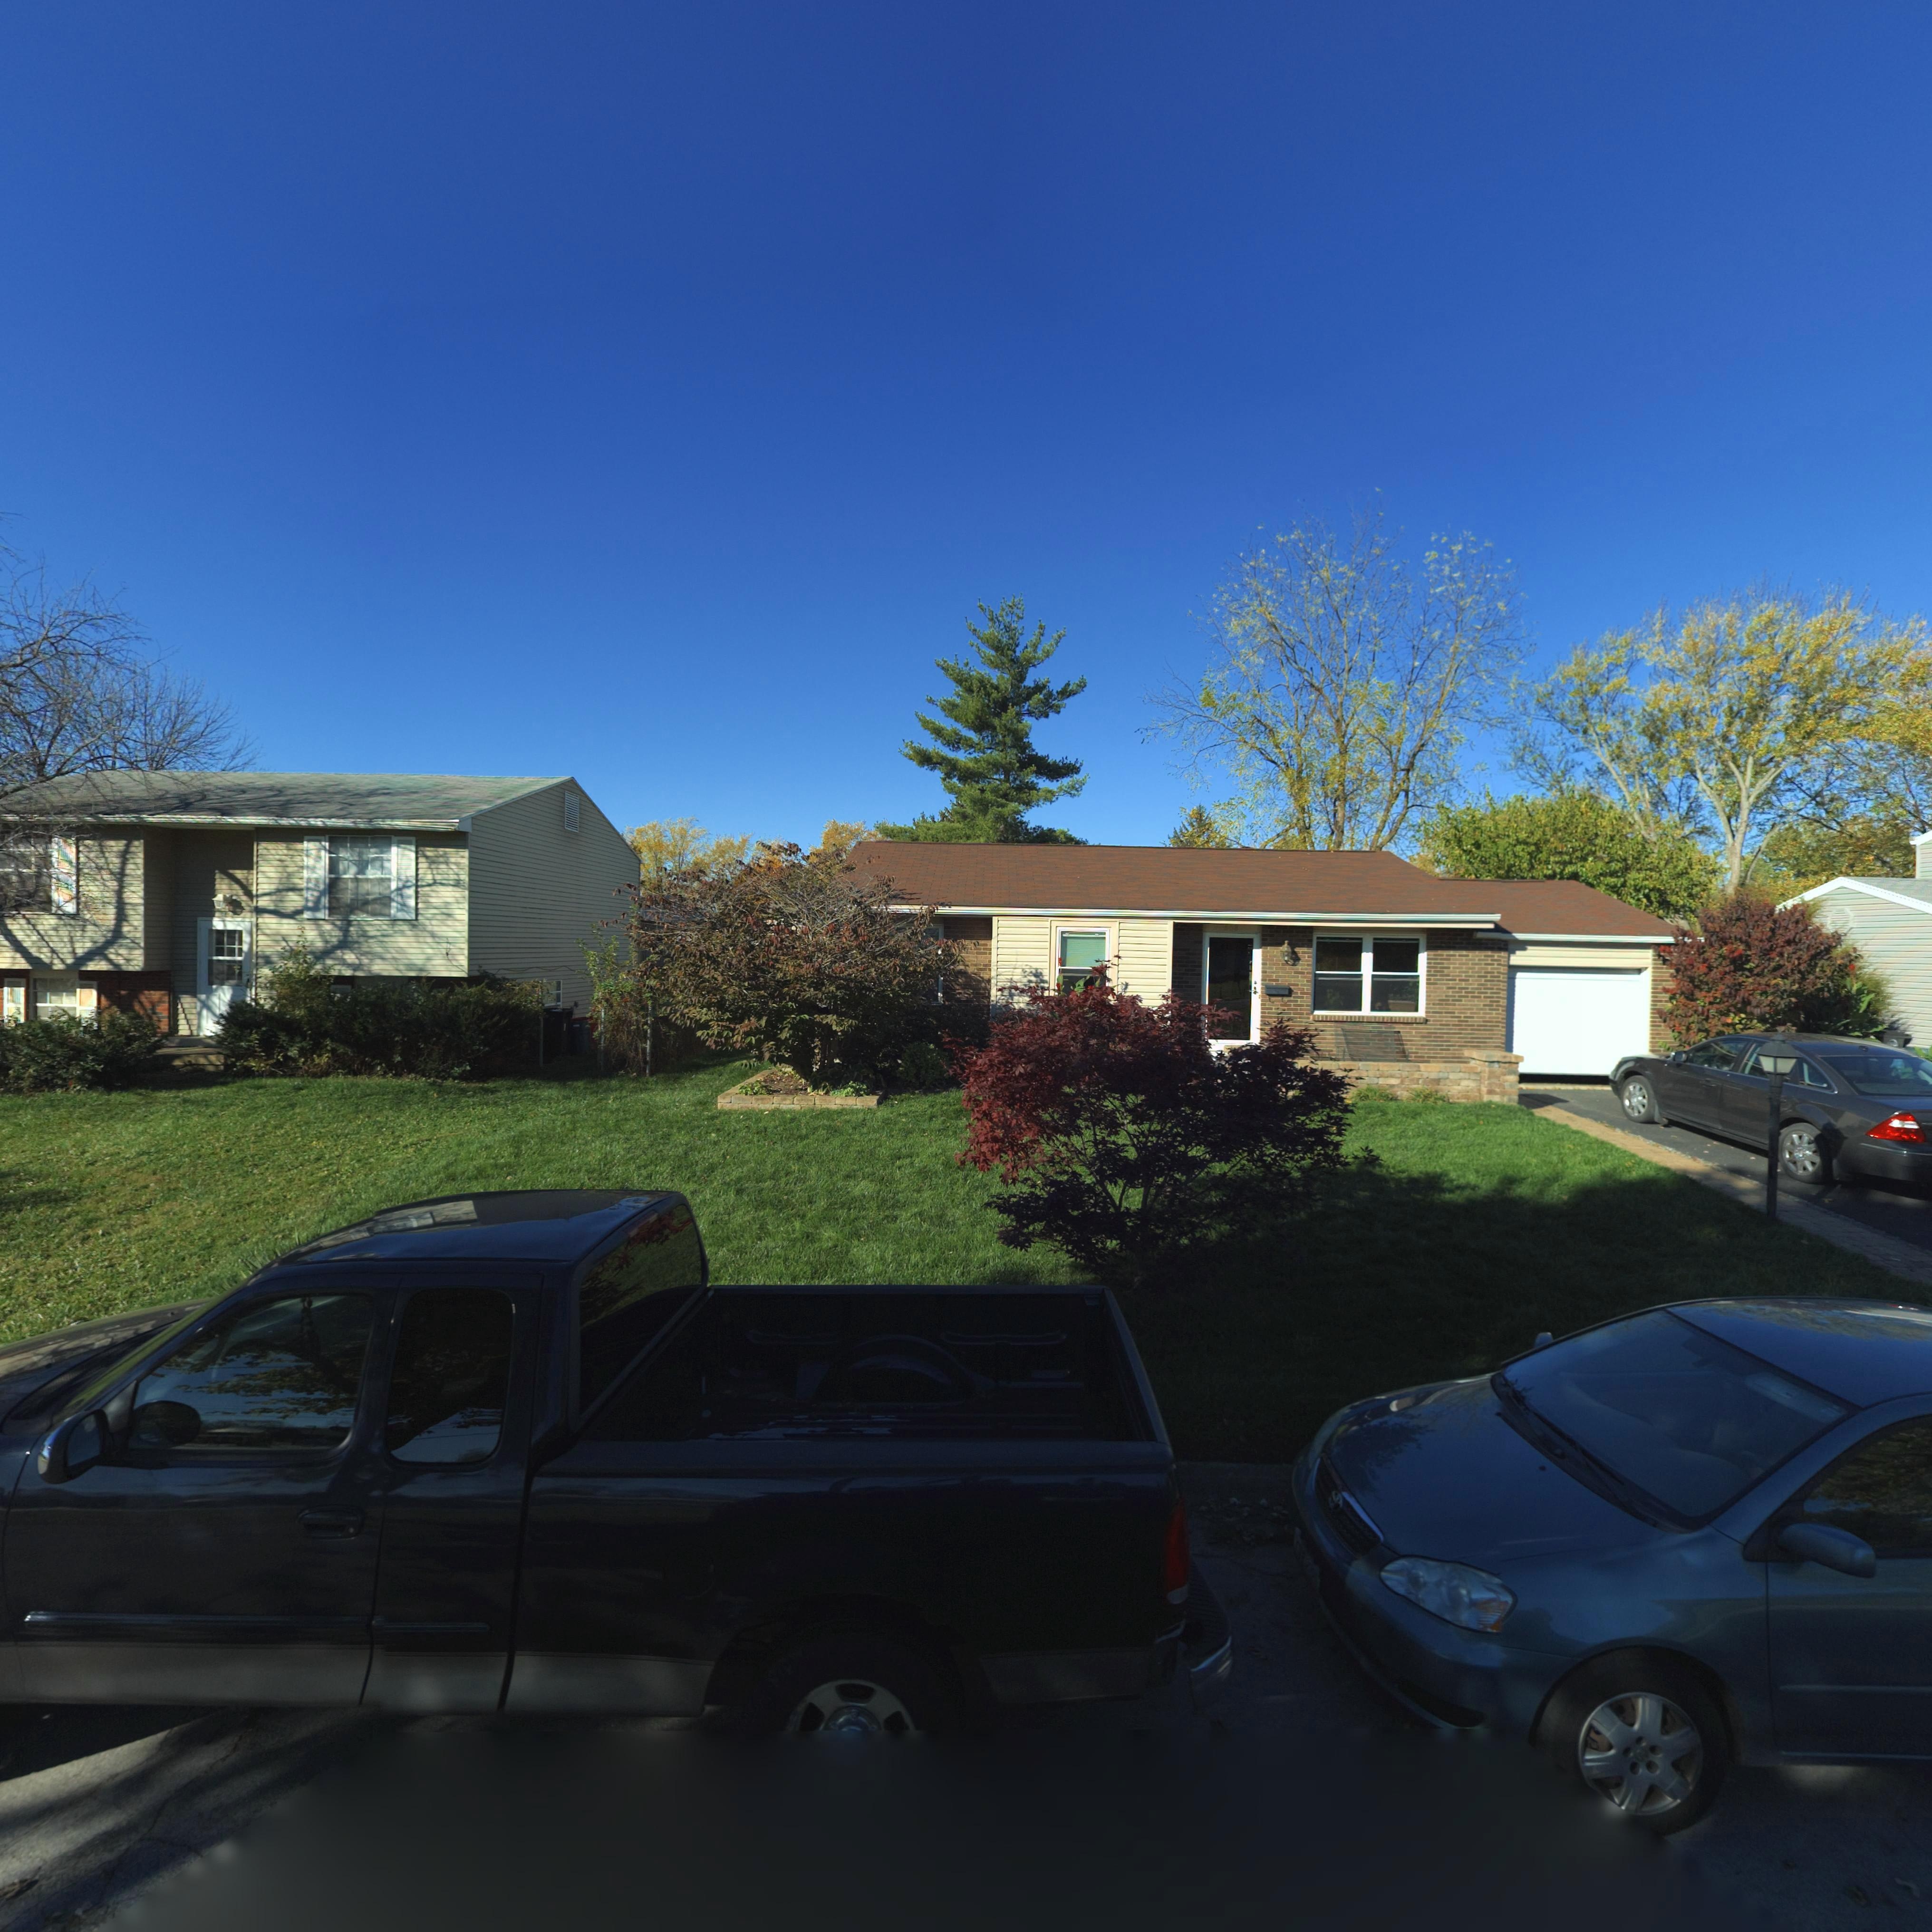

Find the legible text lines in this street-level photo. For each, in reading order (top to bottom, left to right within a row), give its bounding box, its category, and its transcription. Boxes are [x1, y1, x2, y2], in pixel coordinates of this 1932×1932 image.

[1223, 924, 1239, 931] StreetNumber: 658